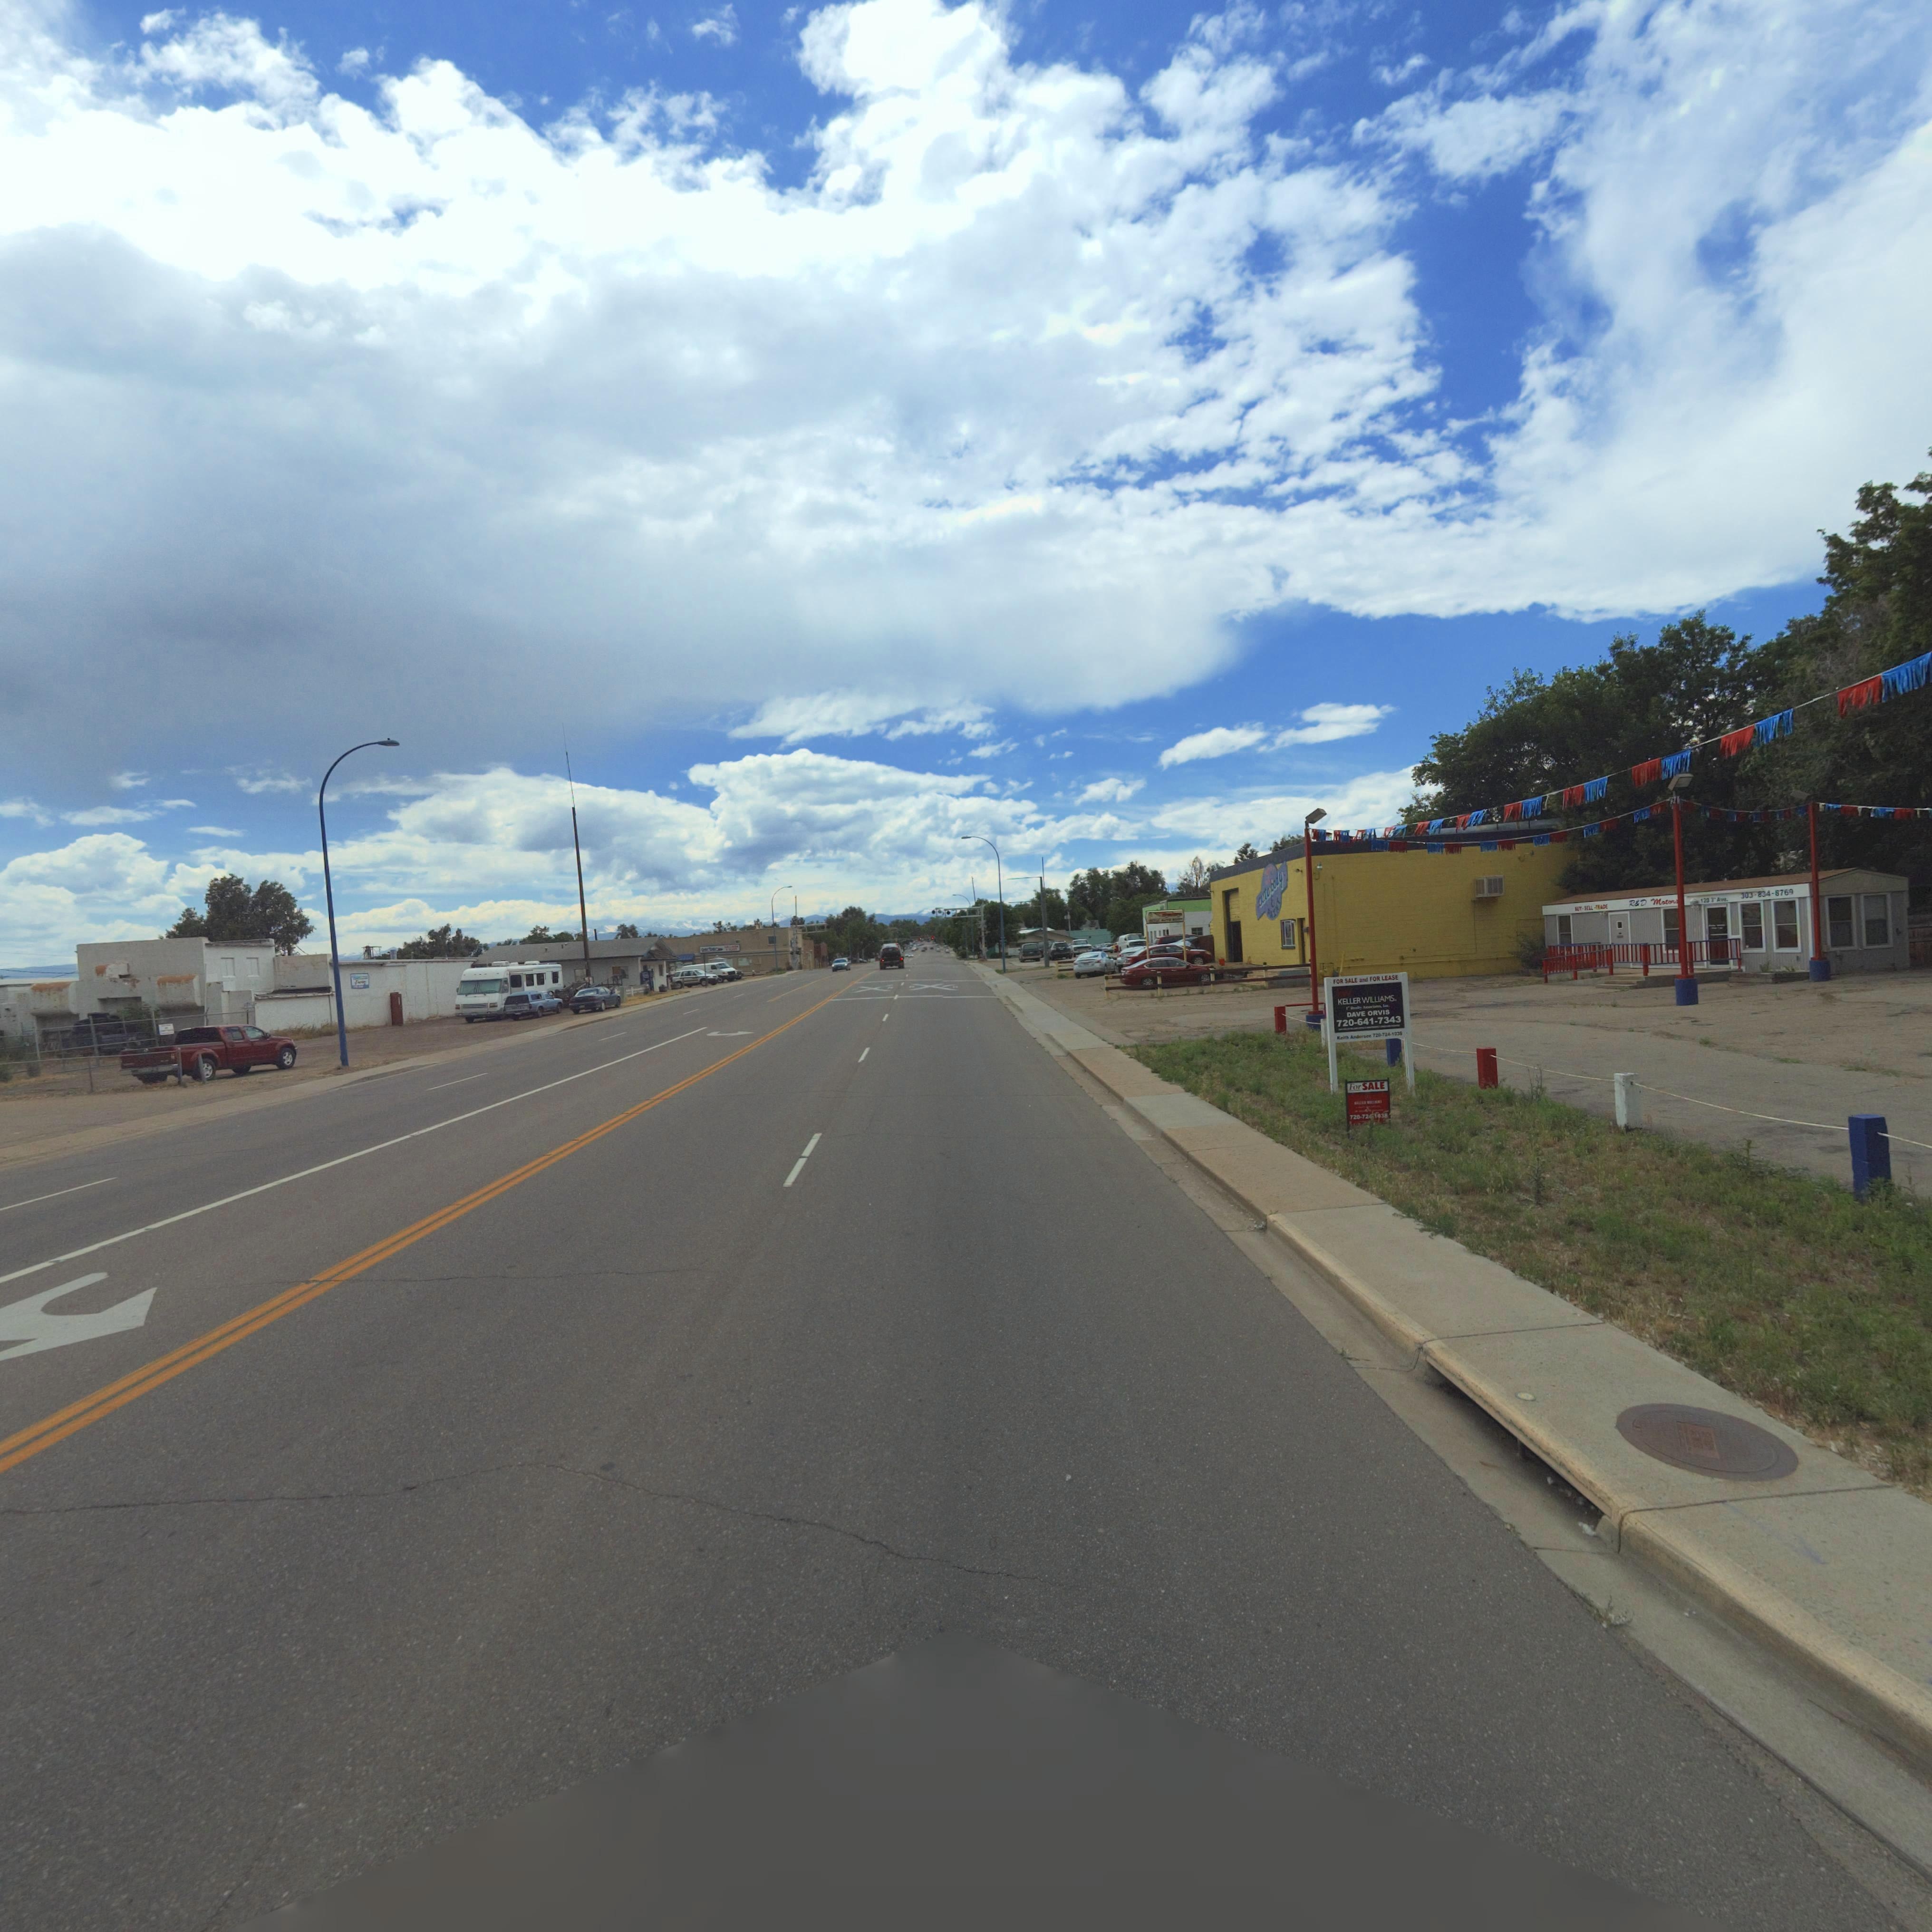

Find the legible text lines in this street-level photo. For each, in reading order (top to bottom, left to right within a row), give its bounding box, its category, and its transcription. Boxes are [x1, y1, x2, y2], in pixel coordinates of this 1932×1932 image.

[1628, 898, 1647, 907] BusinessName: R*D
[1650, 897, 1678, 906] BusinessName: Motor*
[1700, 897, 1710, 903] StreetNumber: 128
[1710, 897, 1728, 902] StreetName: 3* A***